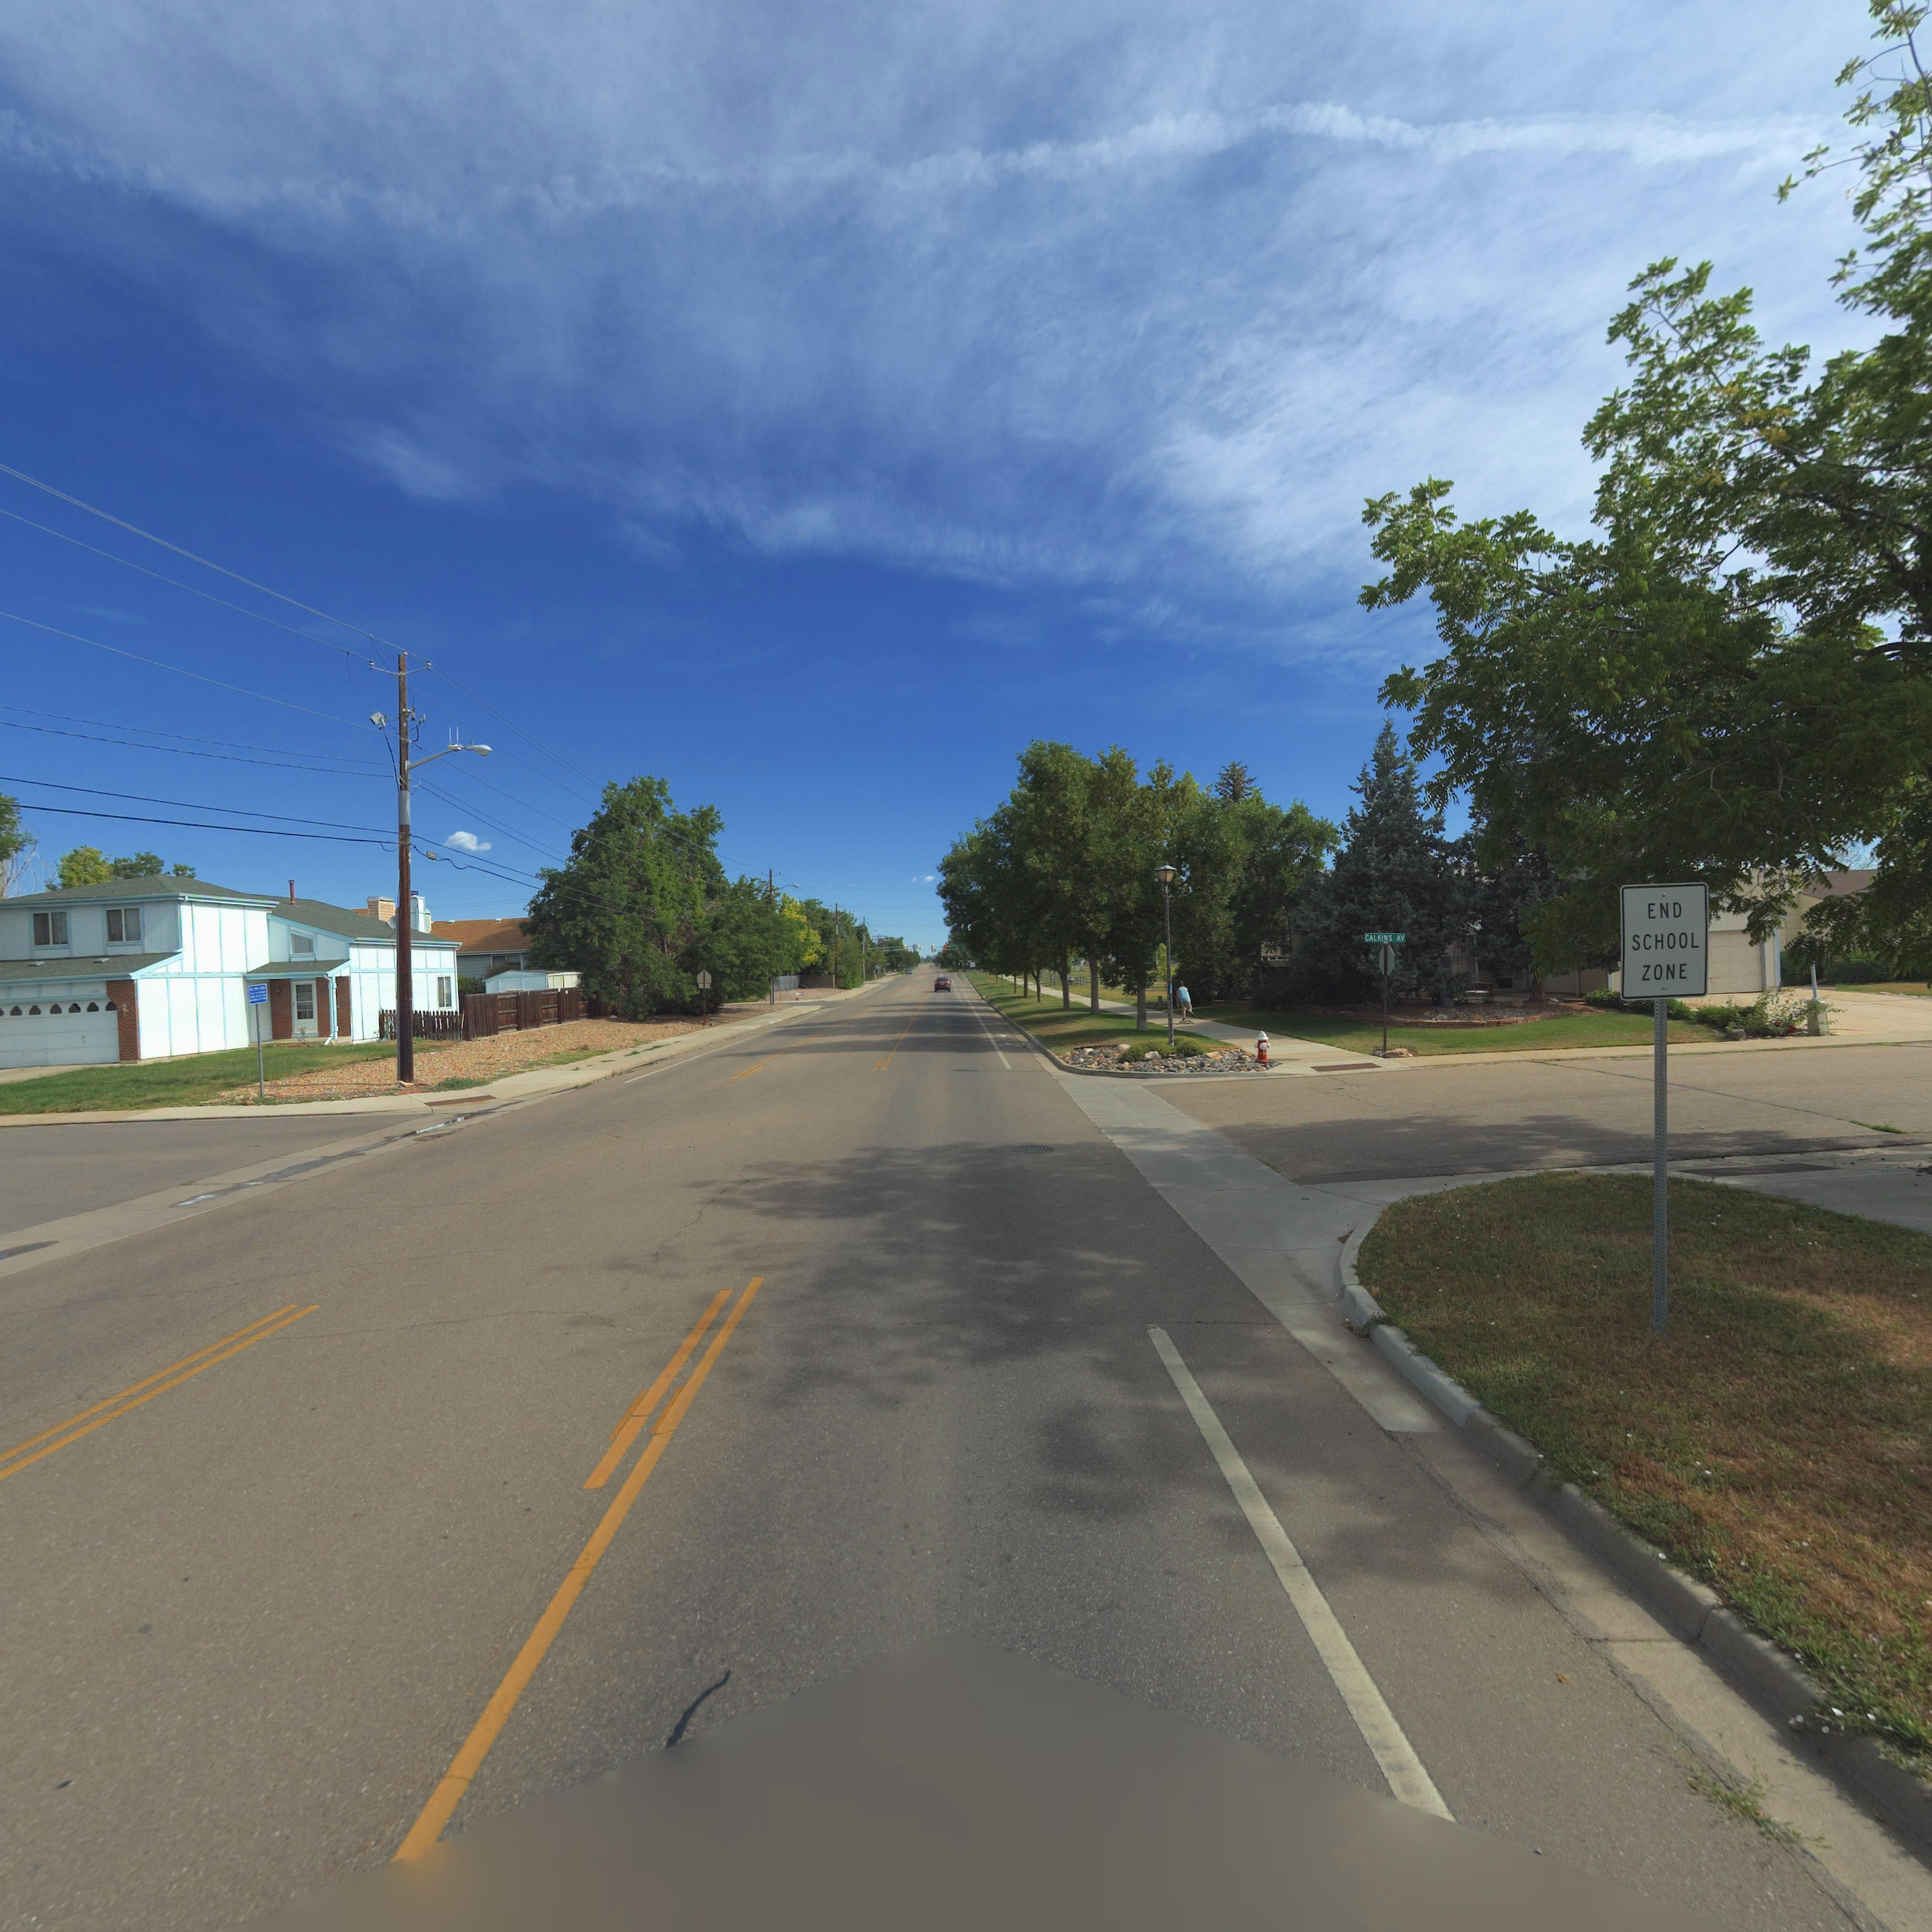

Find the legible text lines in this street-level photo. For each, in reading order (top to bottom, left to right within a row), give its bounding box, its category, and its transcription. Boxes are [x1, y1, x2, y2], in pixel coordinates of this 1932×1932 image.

[1365, 934, 1405, 941] StreetName: CALKINS AV